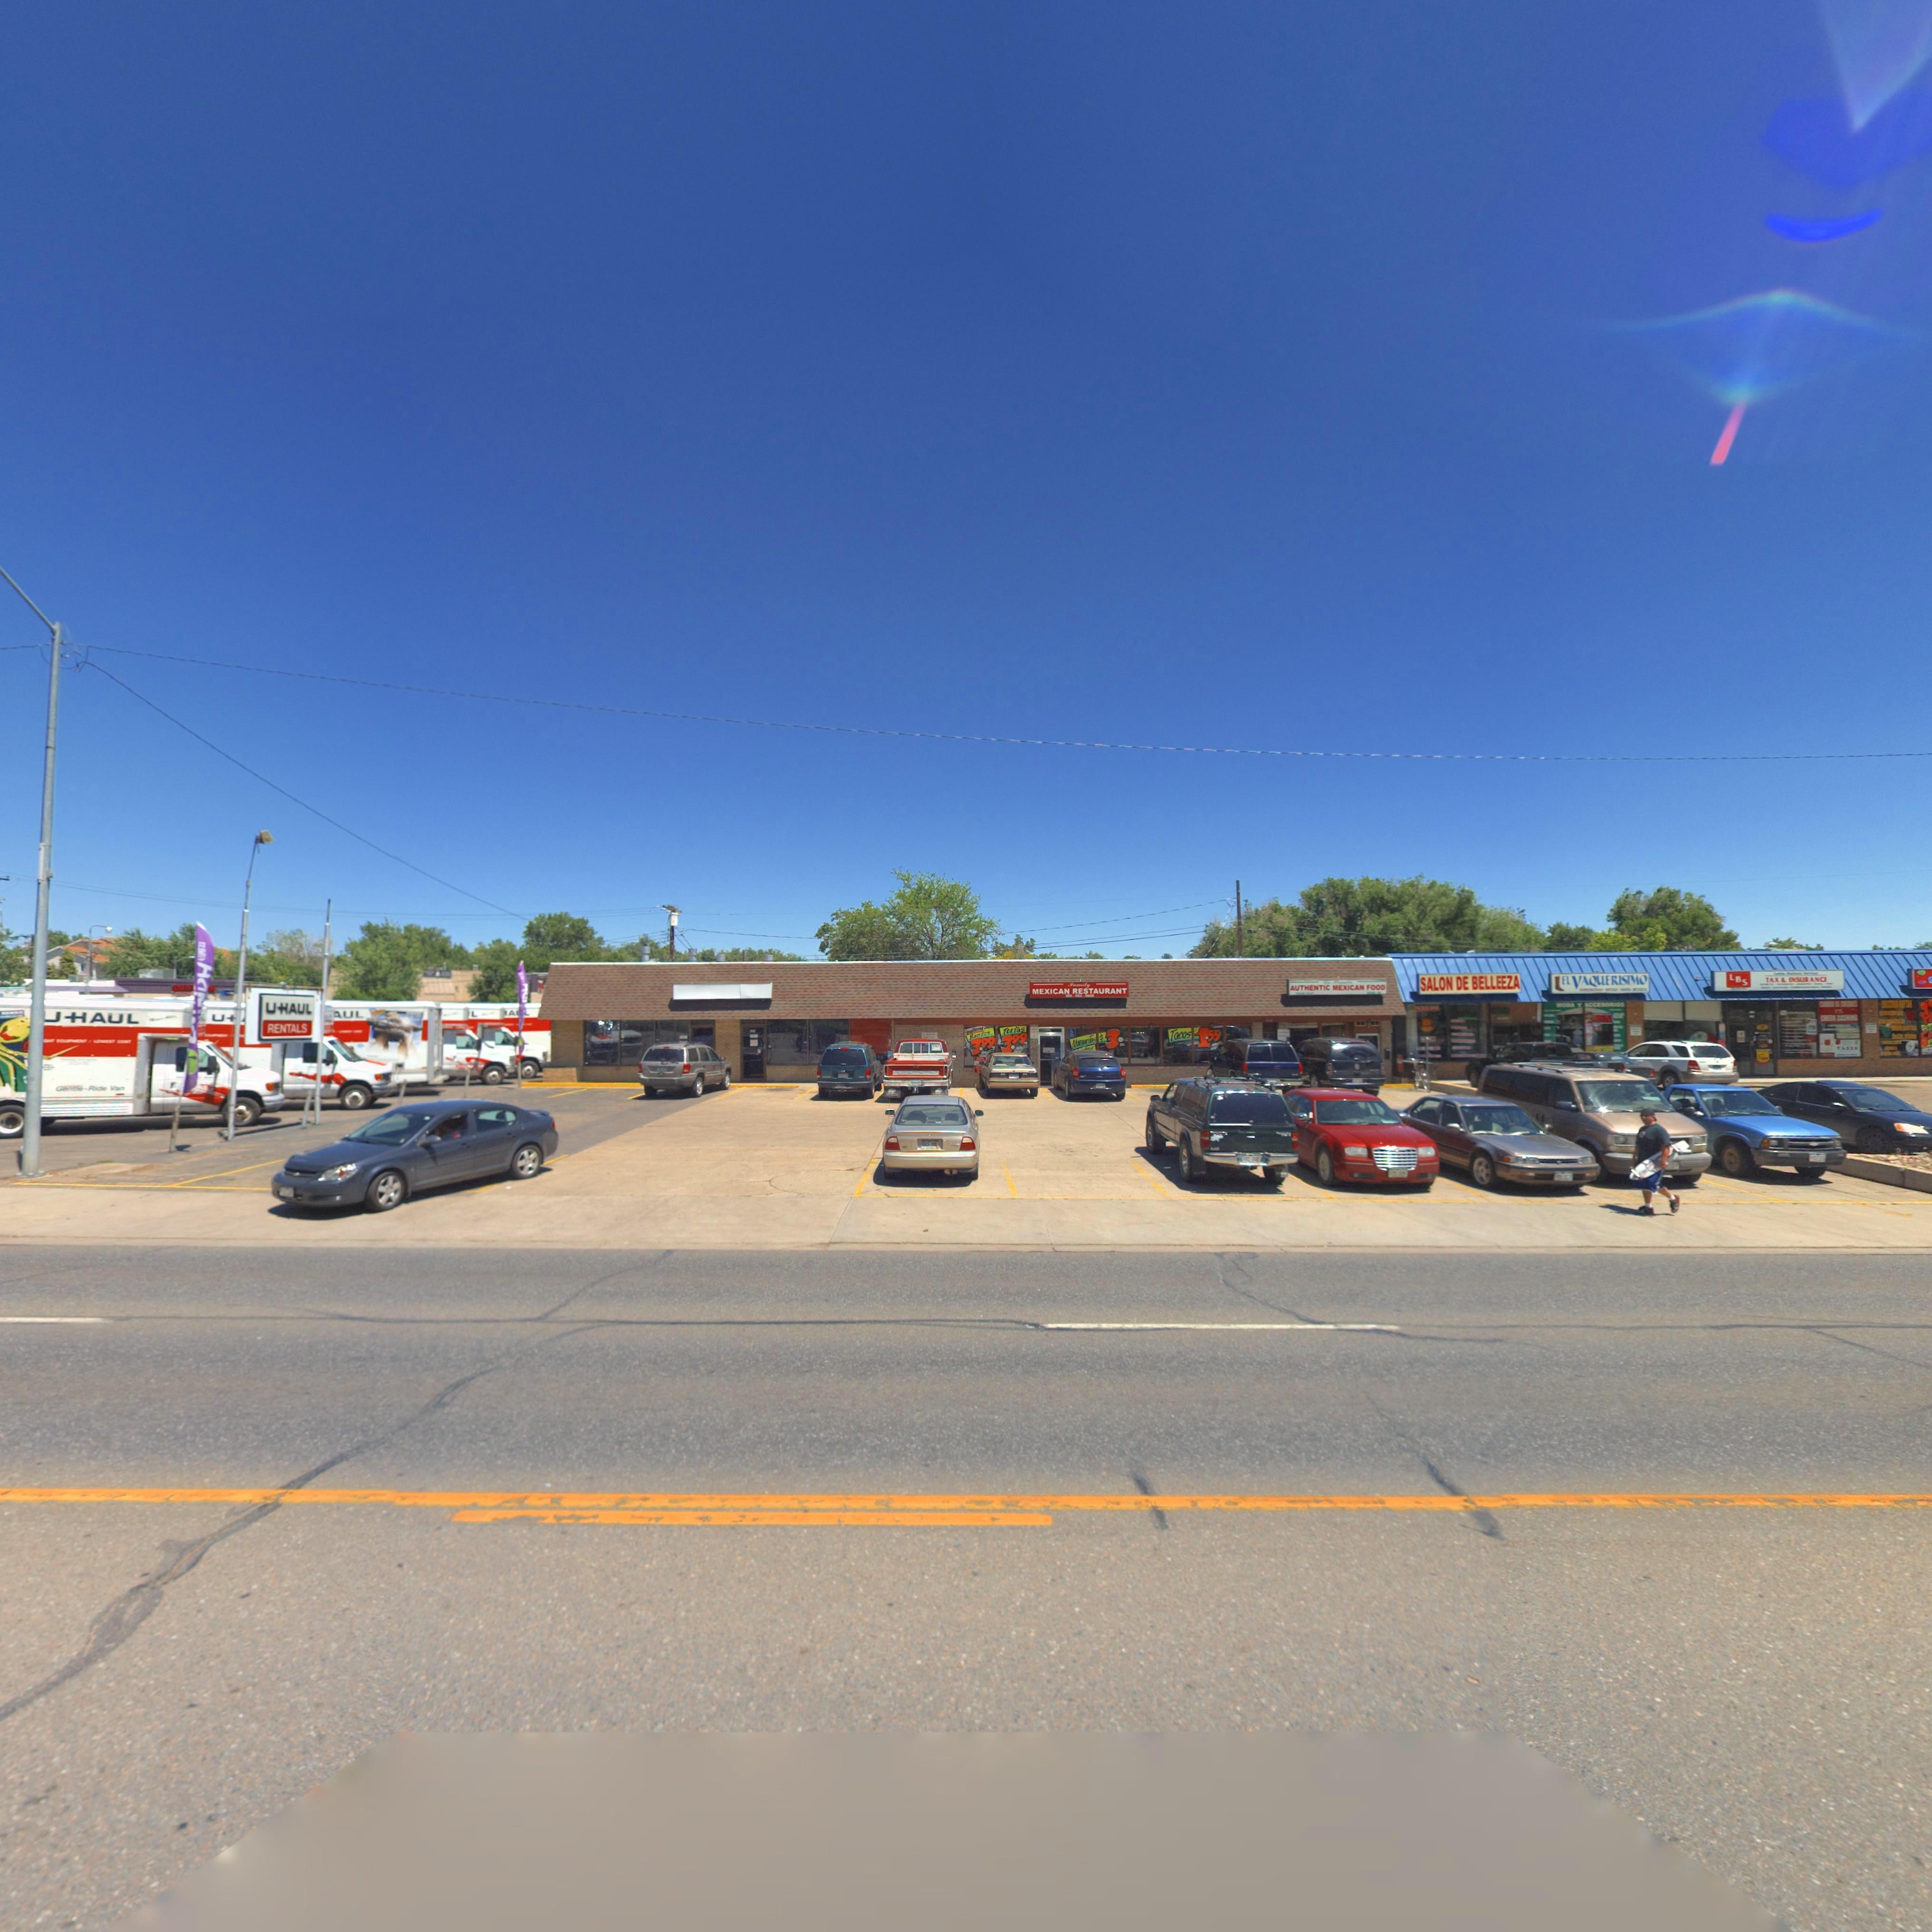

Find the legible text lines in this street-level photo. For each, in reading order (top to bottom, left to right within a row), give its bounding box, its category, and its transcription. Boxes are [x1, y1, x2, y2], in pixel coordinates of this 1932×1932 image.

[1420, 975, 1521, 992] BusinessName: SALON DE BELLEEZA
[1561, 974, 1648, 991] BusinessName: EL VAQUERISMO
[1729, 973, 1749, 986] BusinessName: LBS
[1765, 976, 1828, 983] BusinessName: TAX & INSURANCE
[265, 1002, 312, 1015] BusinessName: UHAUL
[267, 1023, 308, 1034] BusinessName: RENTALS